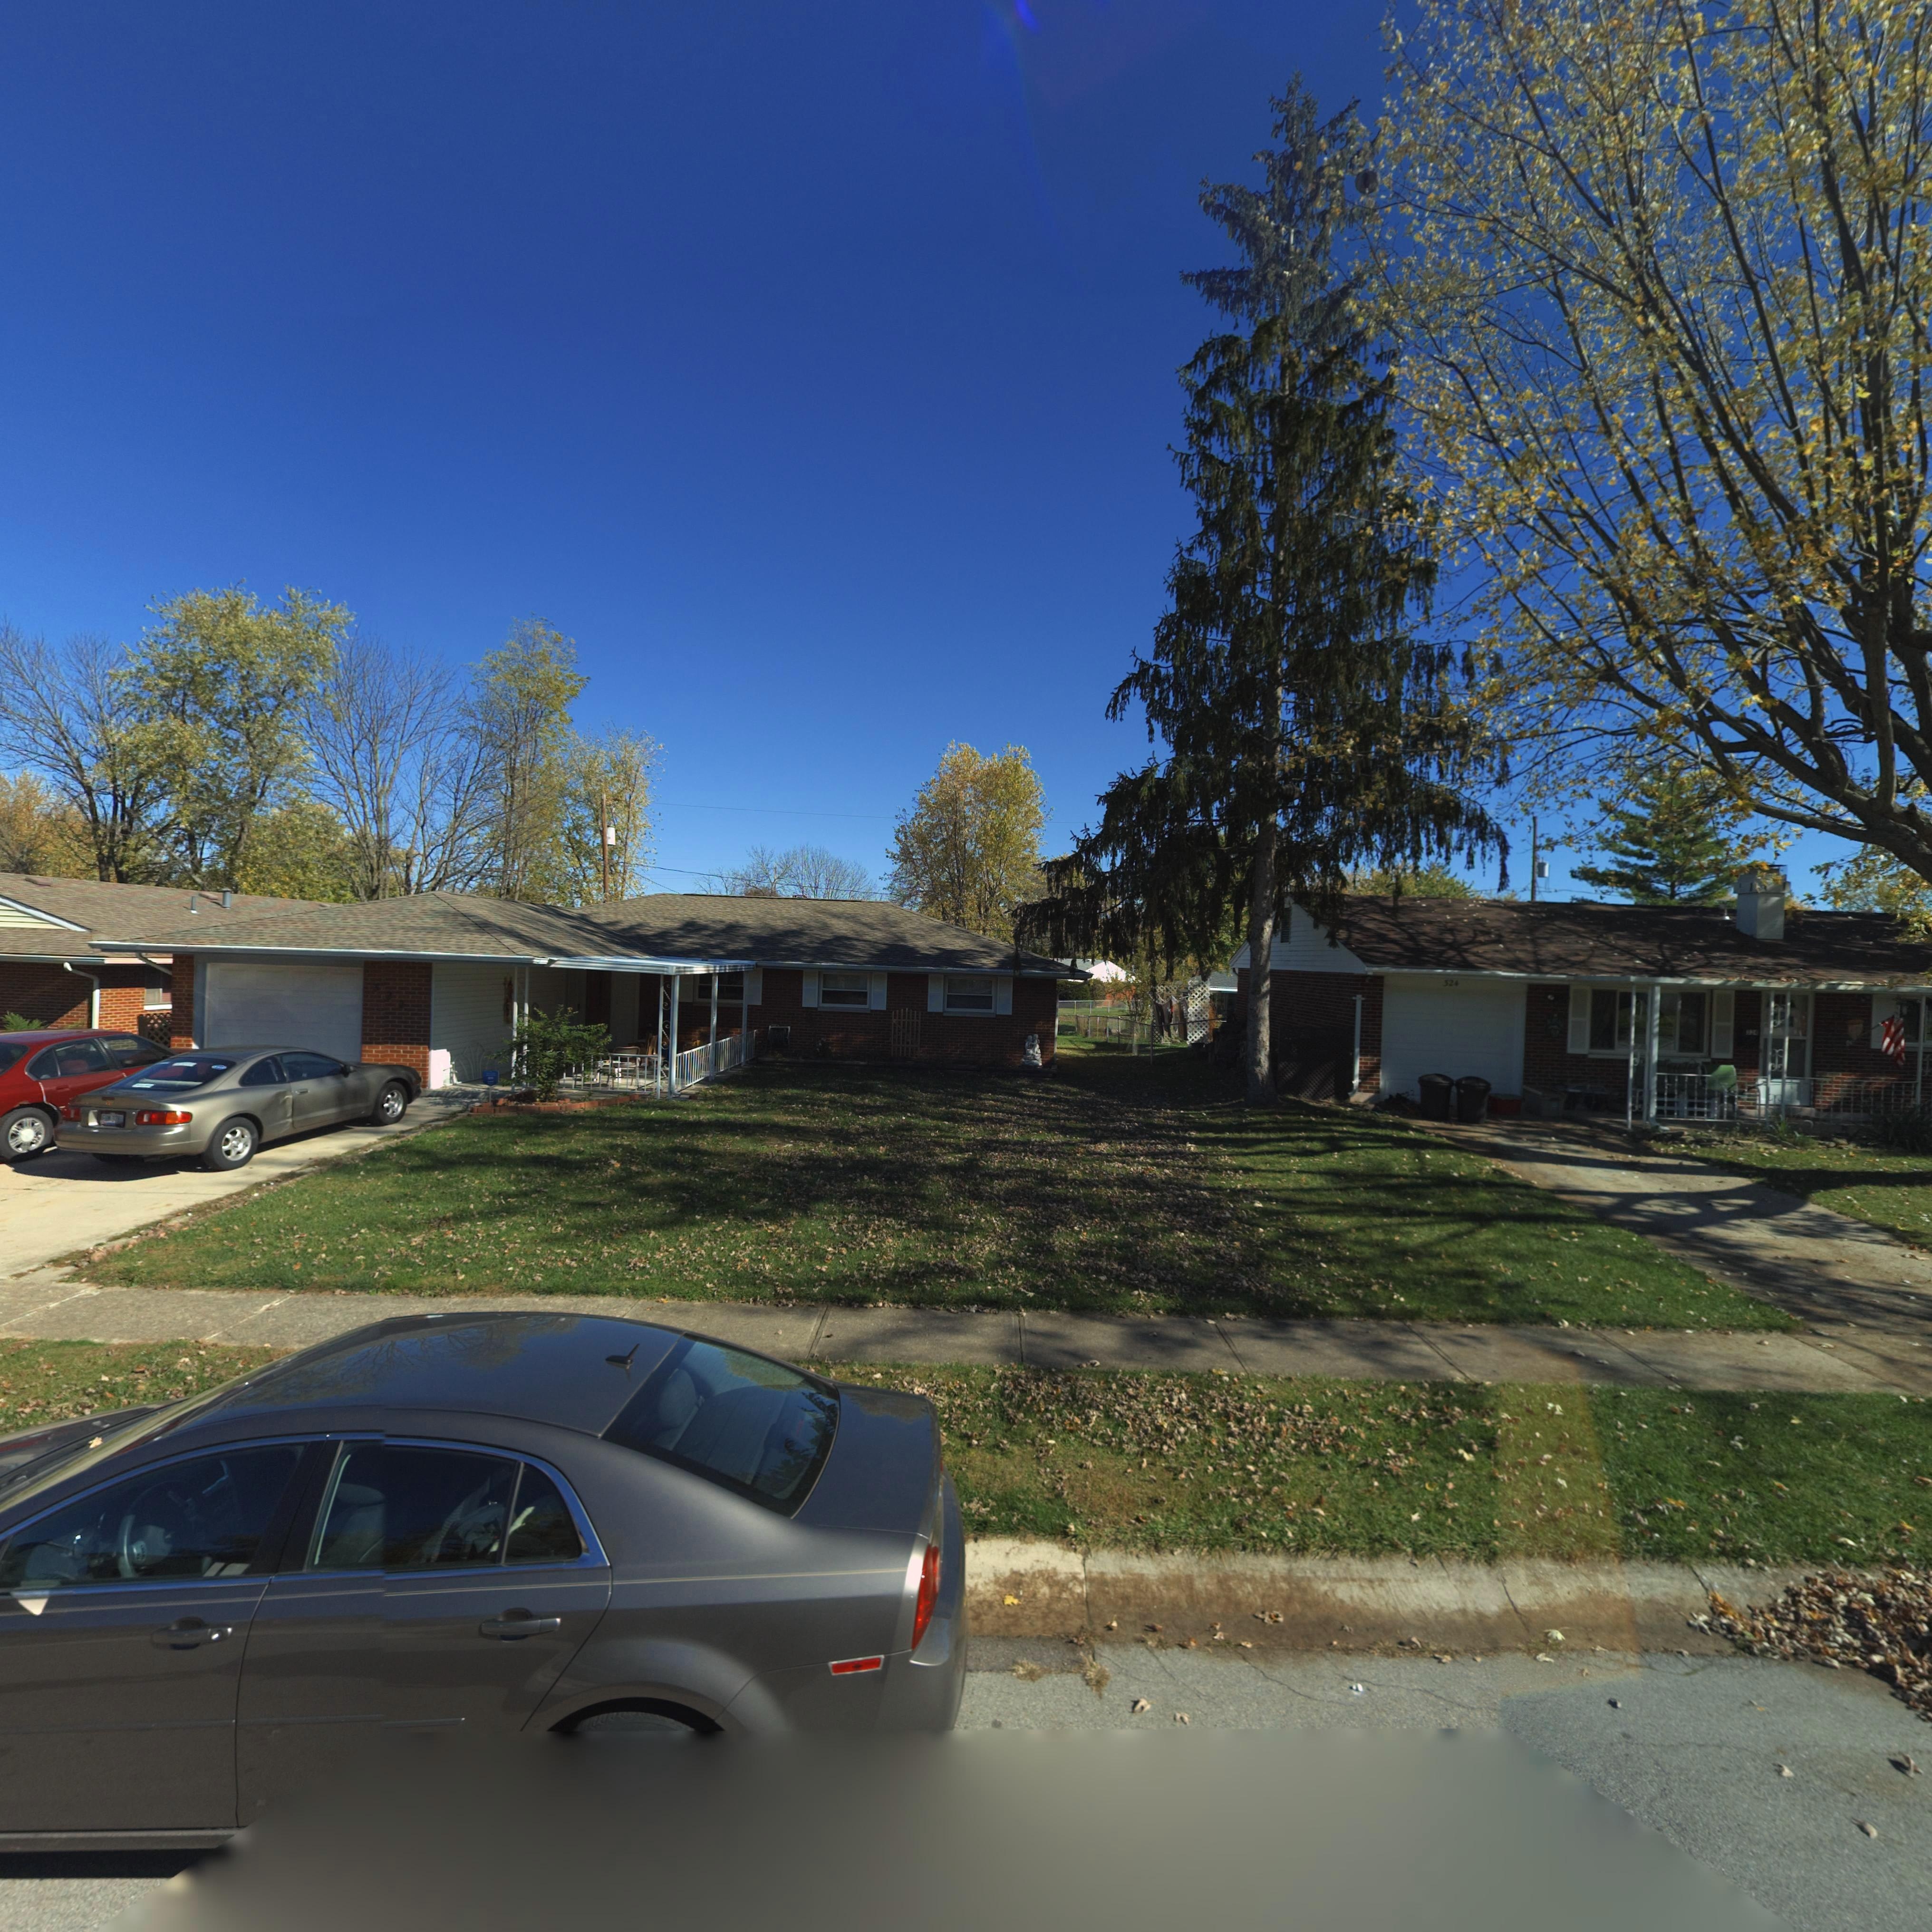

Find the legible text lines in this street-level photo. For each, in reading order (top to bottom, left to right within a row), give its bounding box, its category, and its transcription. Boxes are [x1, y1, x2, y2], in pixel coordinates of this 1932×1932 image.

[1442, 978, 1460, 988] StreetNumber: 324